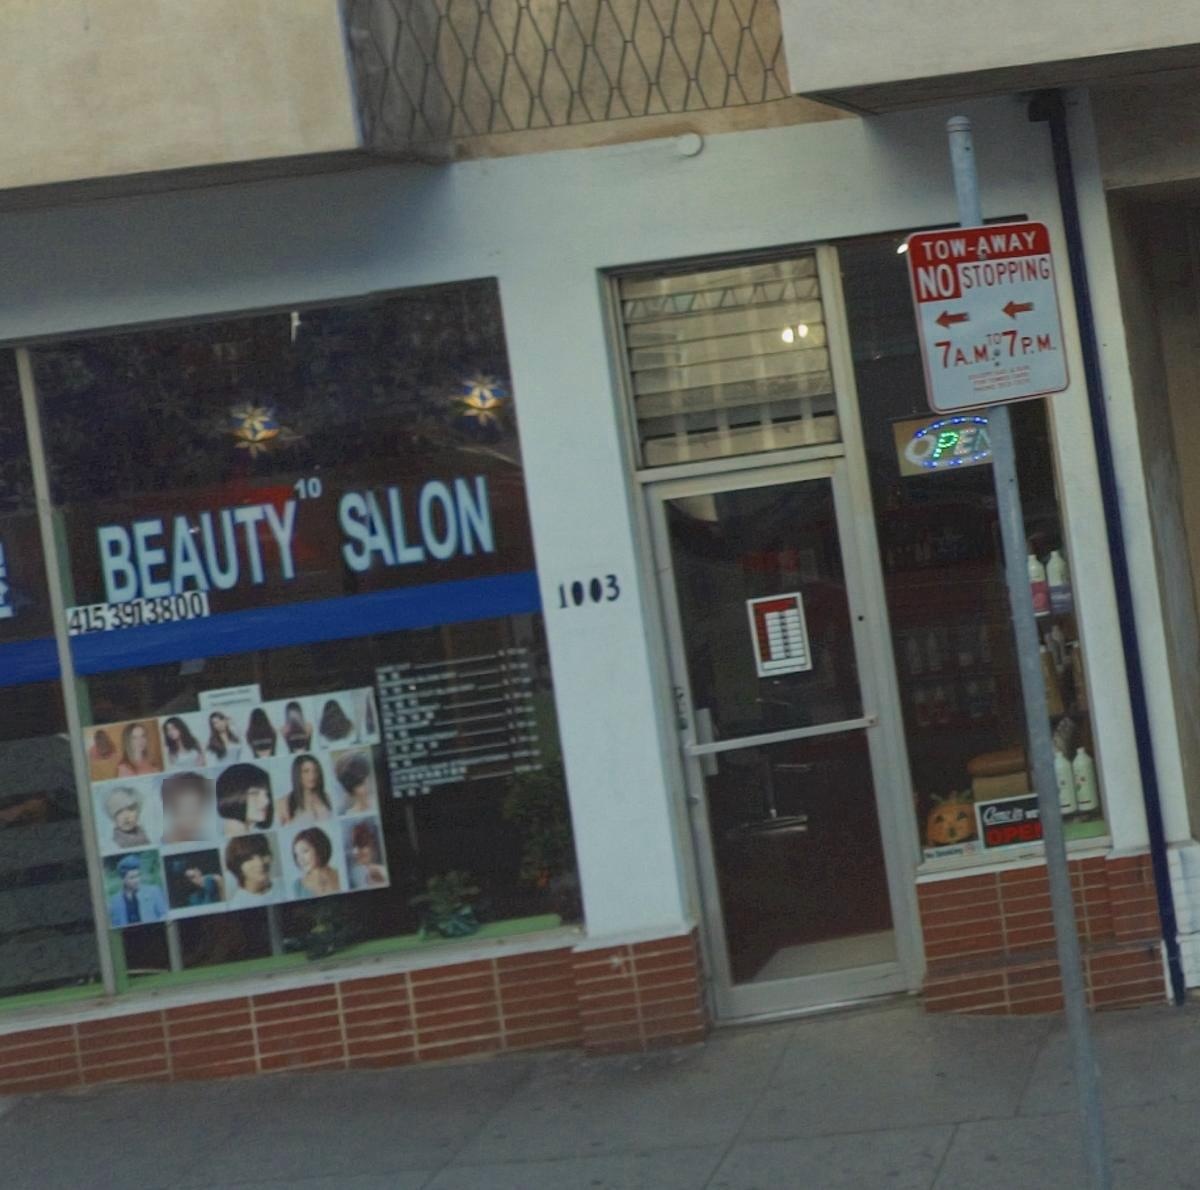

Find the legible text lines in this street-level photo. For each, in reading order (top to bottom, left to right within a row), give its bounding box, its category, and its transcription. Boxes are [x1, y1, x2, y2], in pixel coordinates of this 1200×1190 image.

[919, 229, 1038, 262] None: TOW-AWAY
[915, 254, 1052, 302] None: NO STOPPING
[934, 338, 953, 371] None: 7
[952, 342, 991, 370] None: A.M.
[984, 331, 1003, 347] None: TO
[1000, 327, 1020, 360] None: 7
[1019, 331, 1060, 357] None: P.M.
[897, 423, 995, 465] None: OPE*
[293, 475, 326, 500] None: 10
[93, 470, 497, 608] BusinessName: BEAUTY *LON
[550, 570, 621, 614] StreetNumber: 1003
[64, 590, 208, 637] None: 415 391 3800
[981, 805, 1026, 827] None: Come in
[982, 819, 1047, 848] None: OPE*